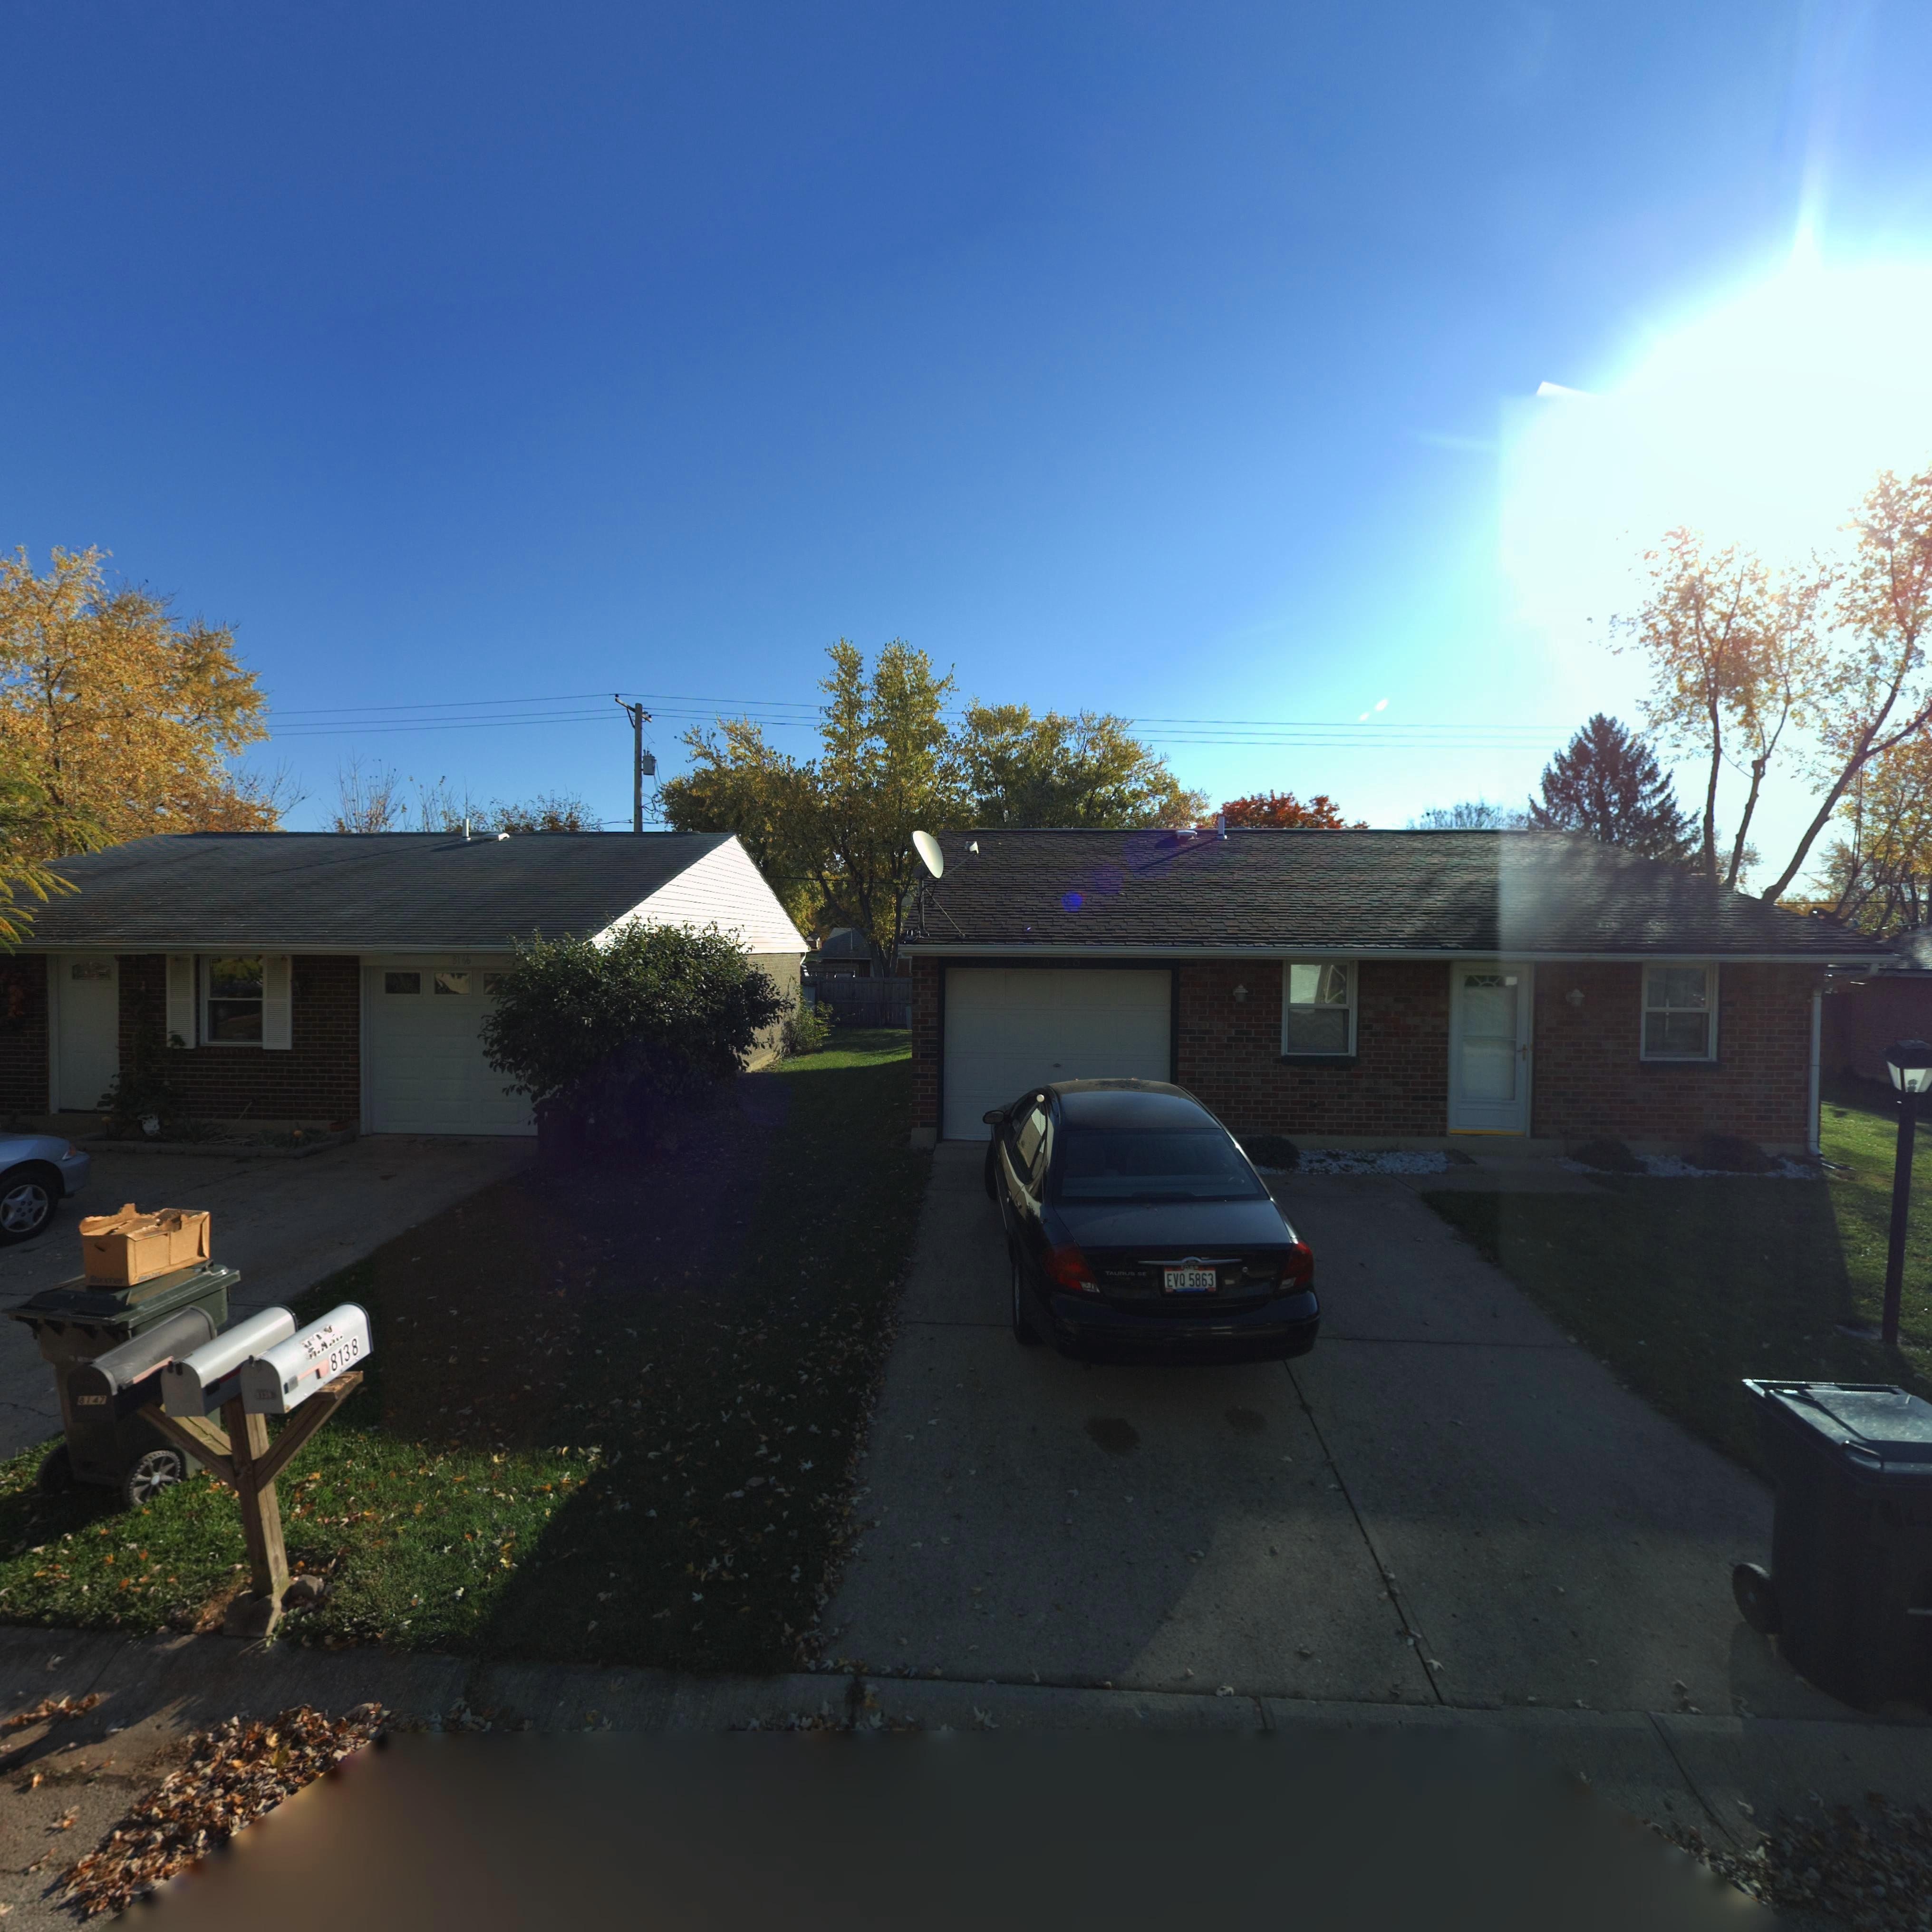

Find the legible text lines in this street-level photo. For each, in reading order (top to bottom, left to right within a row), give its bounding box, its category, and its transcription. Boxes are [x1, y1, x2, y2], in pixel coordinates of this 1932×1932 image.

[451, 954, 472, 966] StreetNumber: 81*6
[1043, 957, 1082, 968] StreetNumber: ***0
[329, 1337, 360, 1373] StreetNumber: 8138
[77, 1395, 106, 1406] StreetNumber: 8147